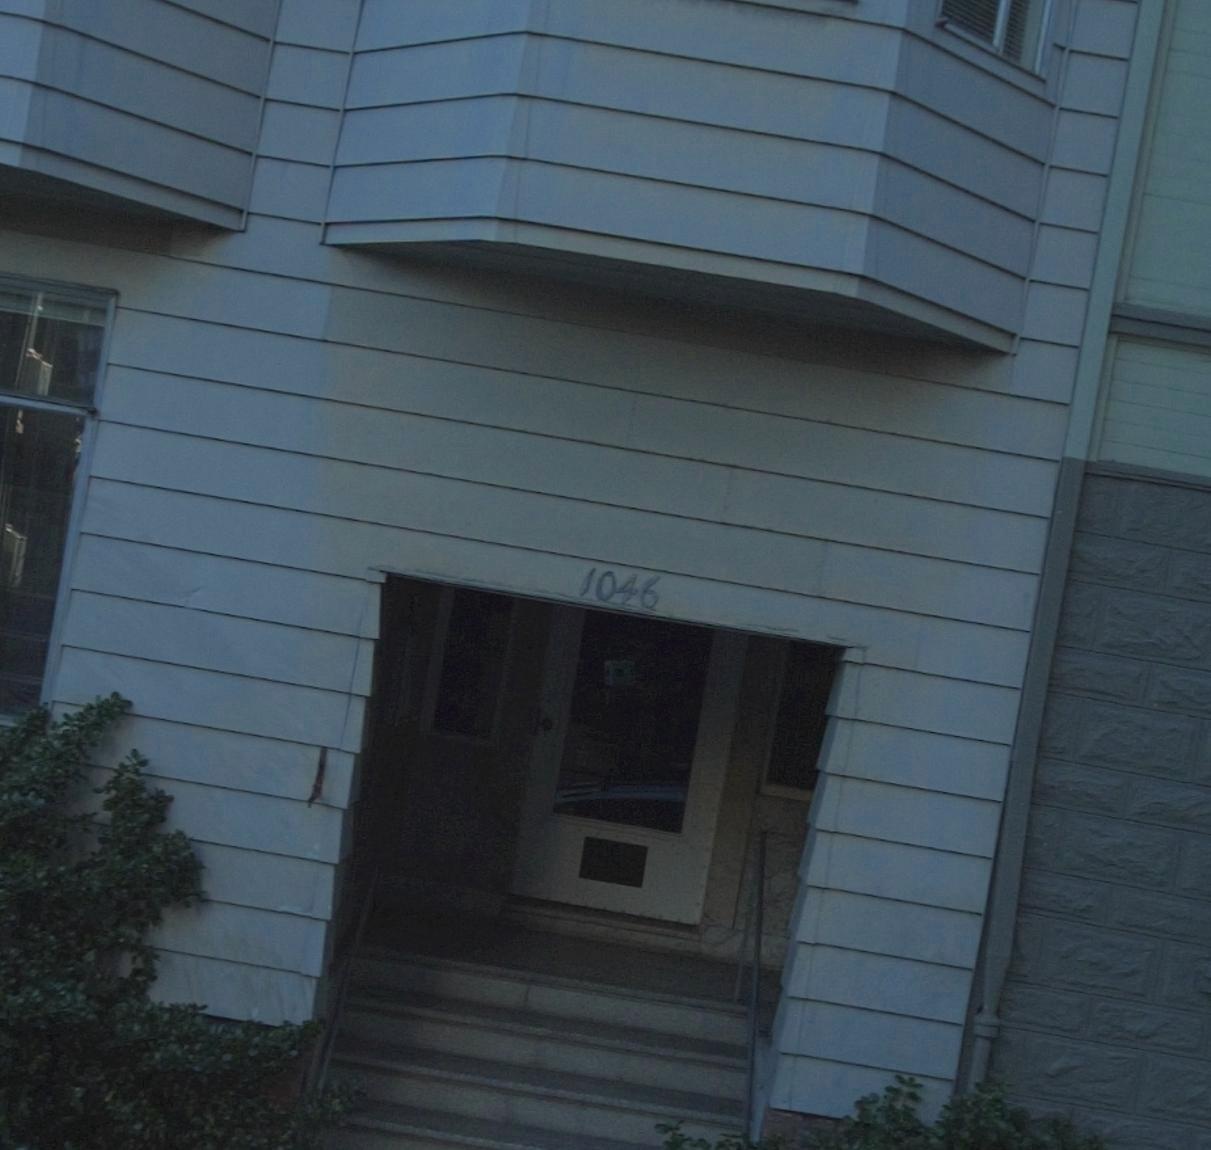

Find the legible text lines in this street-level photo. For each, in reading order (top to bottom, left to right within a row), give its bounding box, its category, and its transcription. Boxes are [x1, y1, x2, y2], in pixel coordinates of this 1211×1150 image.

[574, 561, 666, 612] StreetNumber: 1046